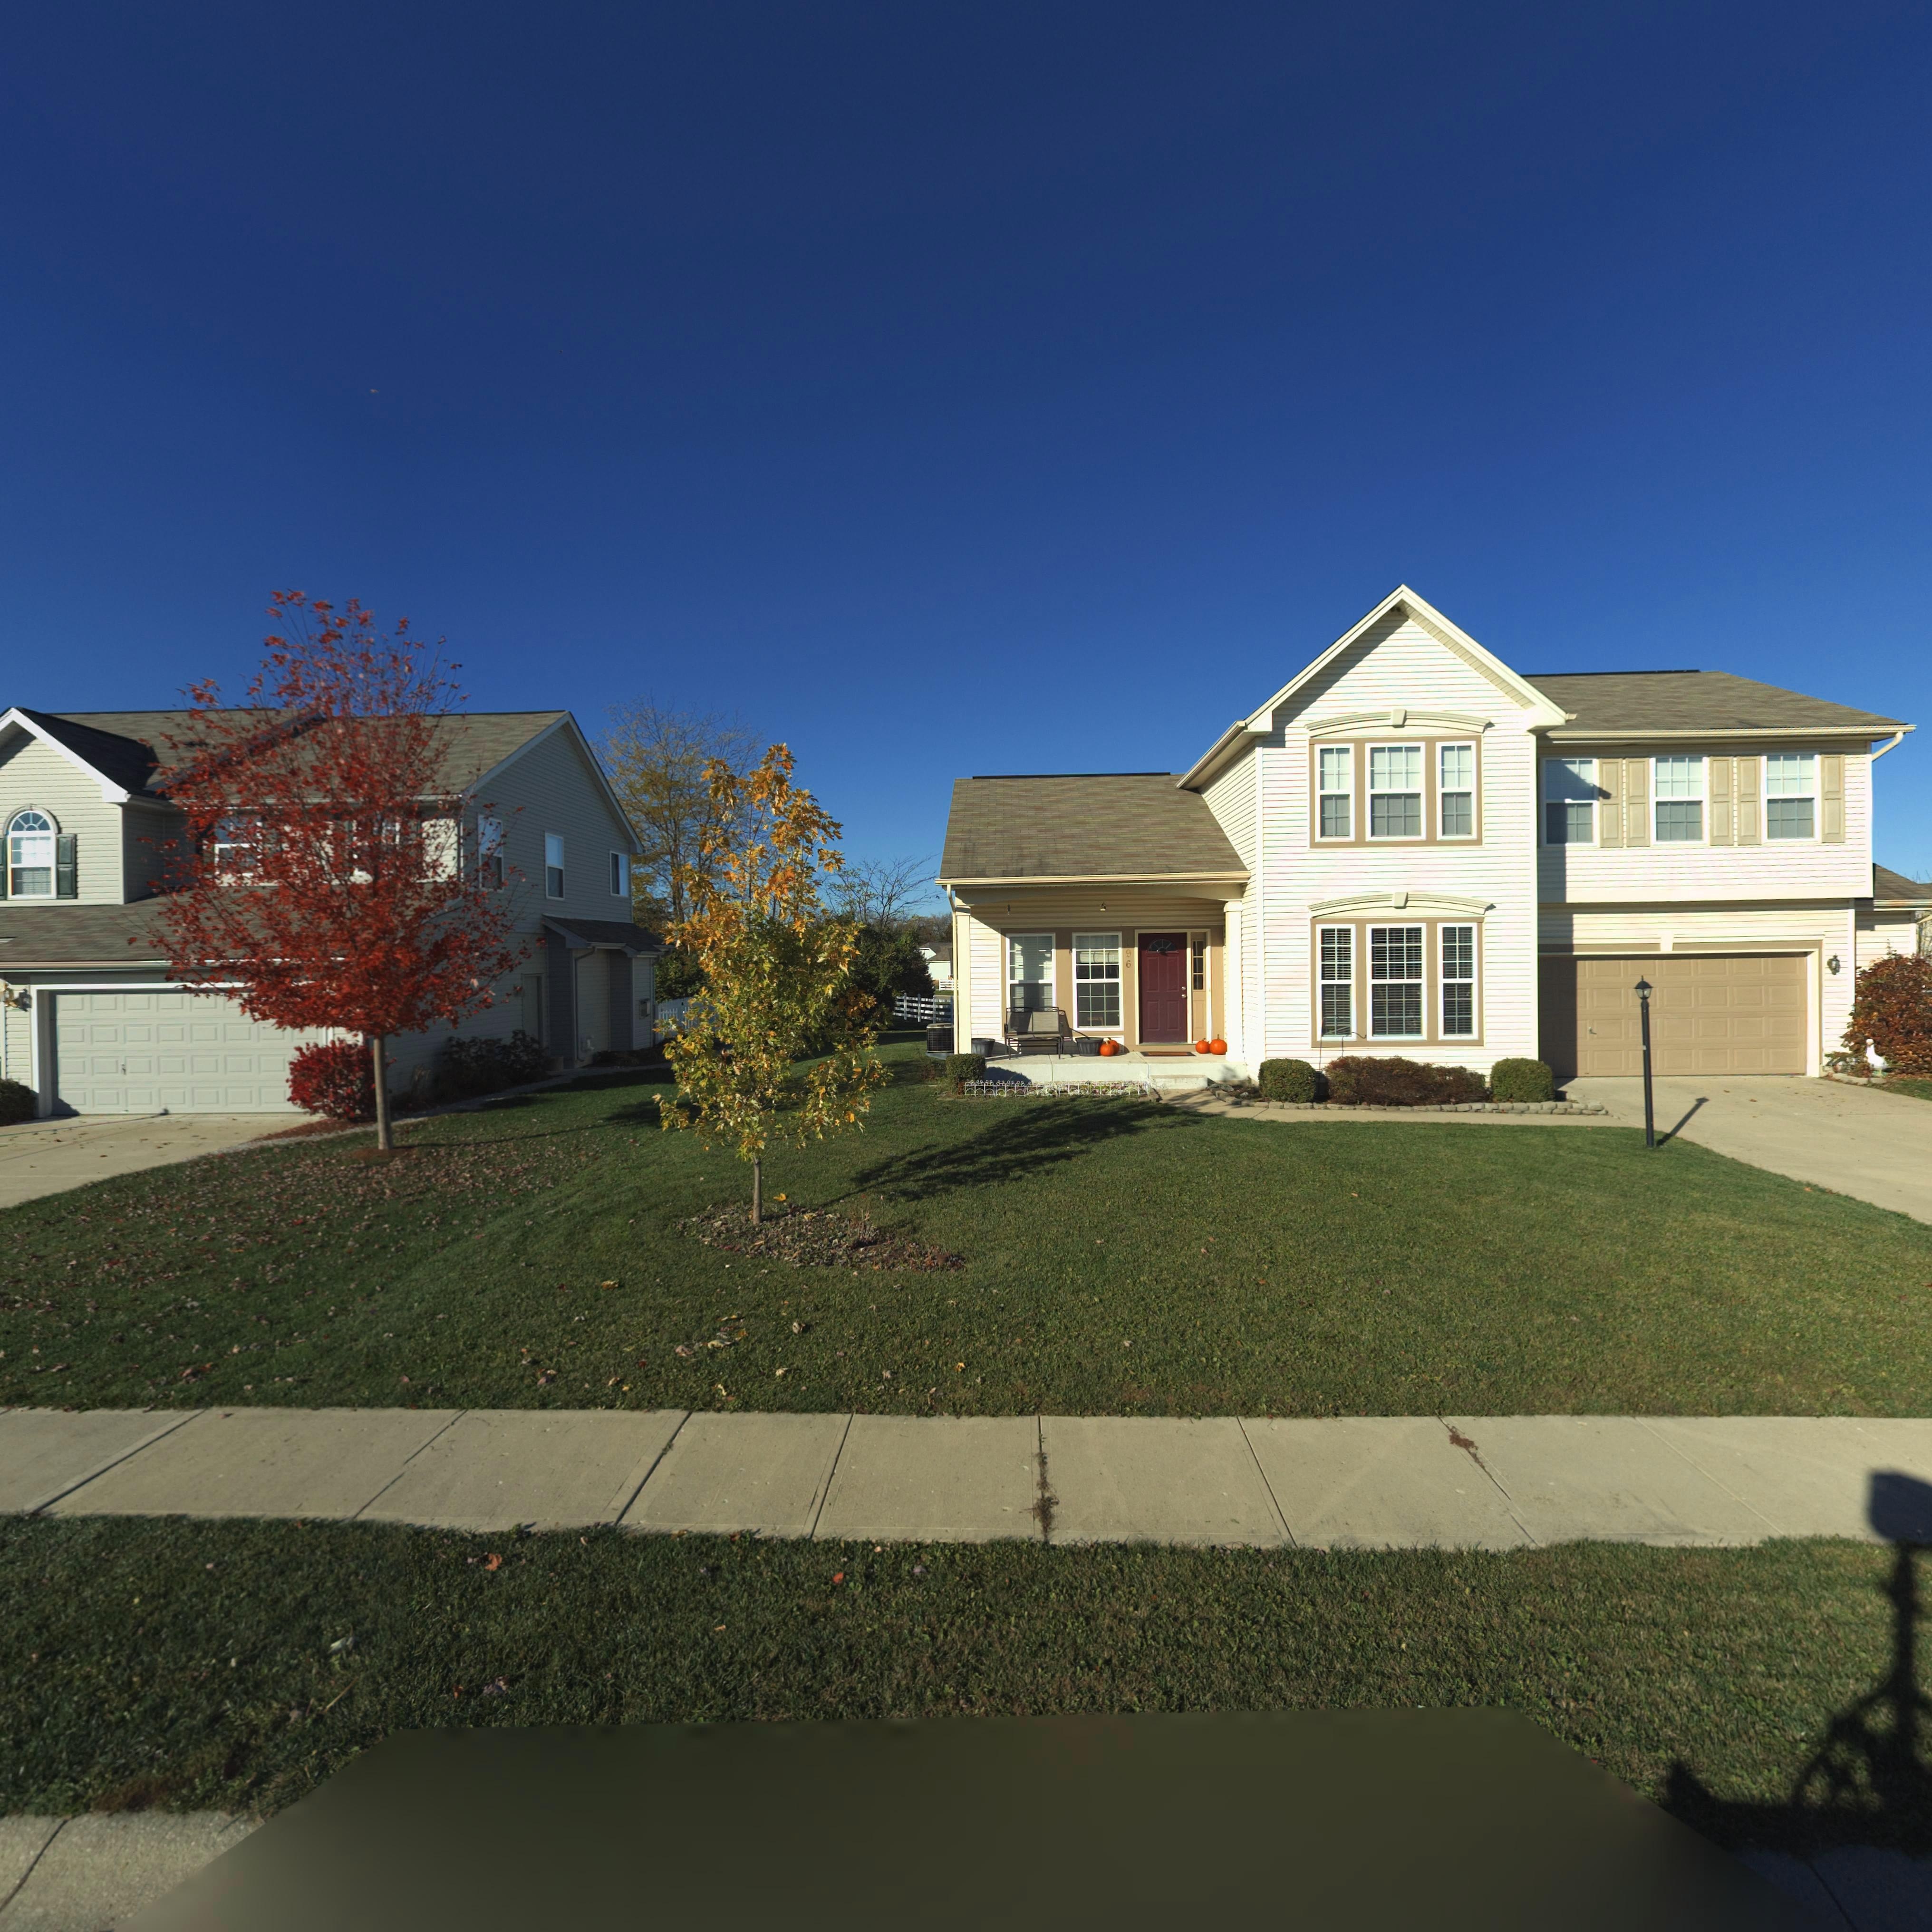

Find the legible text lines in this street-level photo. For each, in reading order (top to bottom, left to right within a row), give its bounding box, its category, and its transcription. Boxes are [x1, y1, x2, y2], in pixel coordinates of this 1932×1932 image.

[1125, 937, 1131, 969] StreetNumber: 196